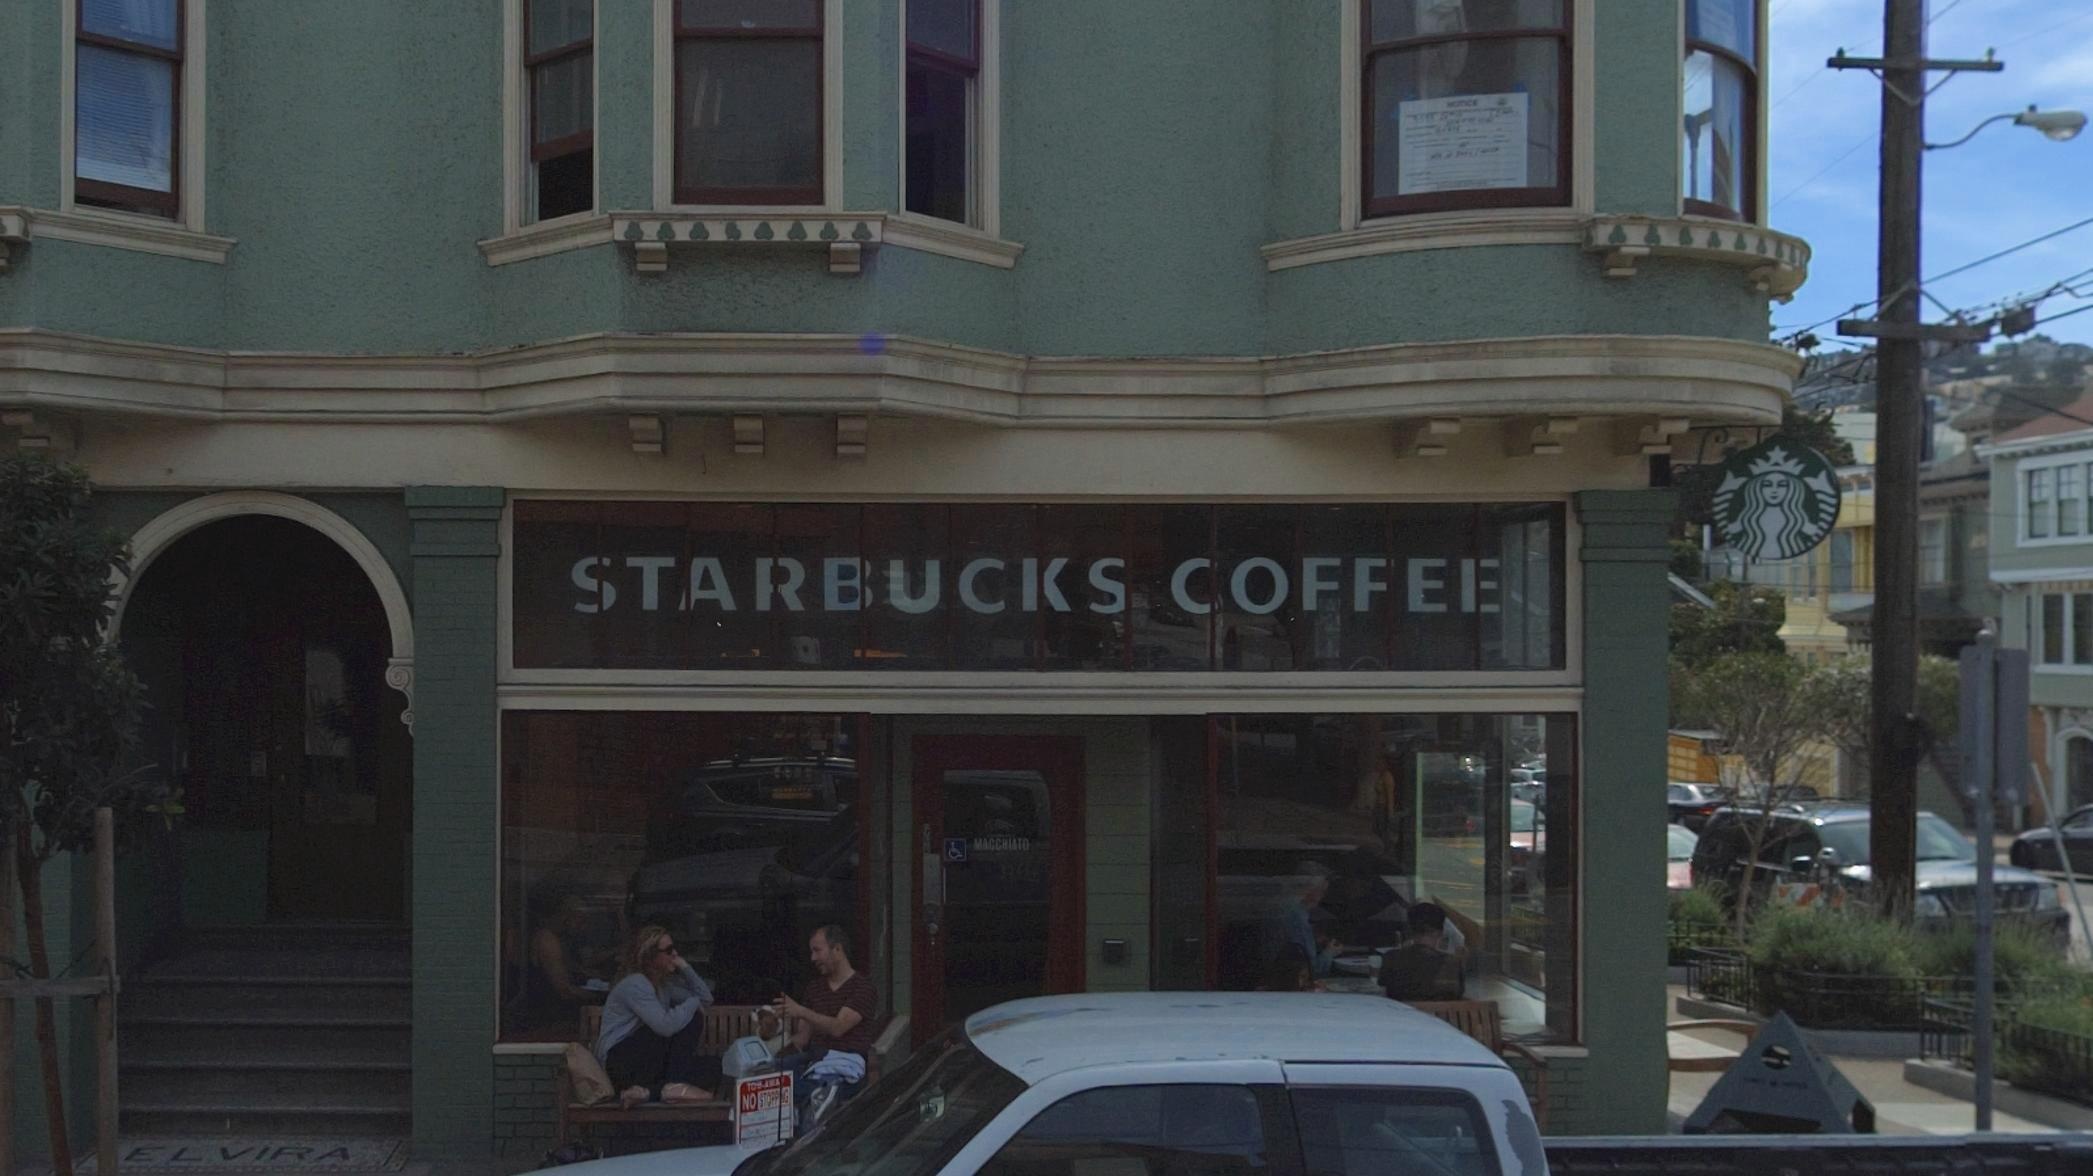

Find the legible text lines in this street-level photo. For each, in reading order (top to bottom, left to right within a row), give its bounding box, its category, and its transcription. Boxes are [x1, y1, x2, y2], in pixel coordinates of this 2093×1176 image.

[1446, 99, 1478, 109] None: NOTICE
[571, 554, 1503, 615] BusinessName: STARBUCKS COFFEE
[973, 837, 1031, 852] None: MACCHIATO
[745, 1075, 787, 1093] None: TOW-AWA*
[741, 1087, 789, 1113] None: NO STOPP**G
[123, 1145, 353, 1163] None: ELVIRA